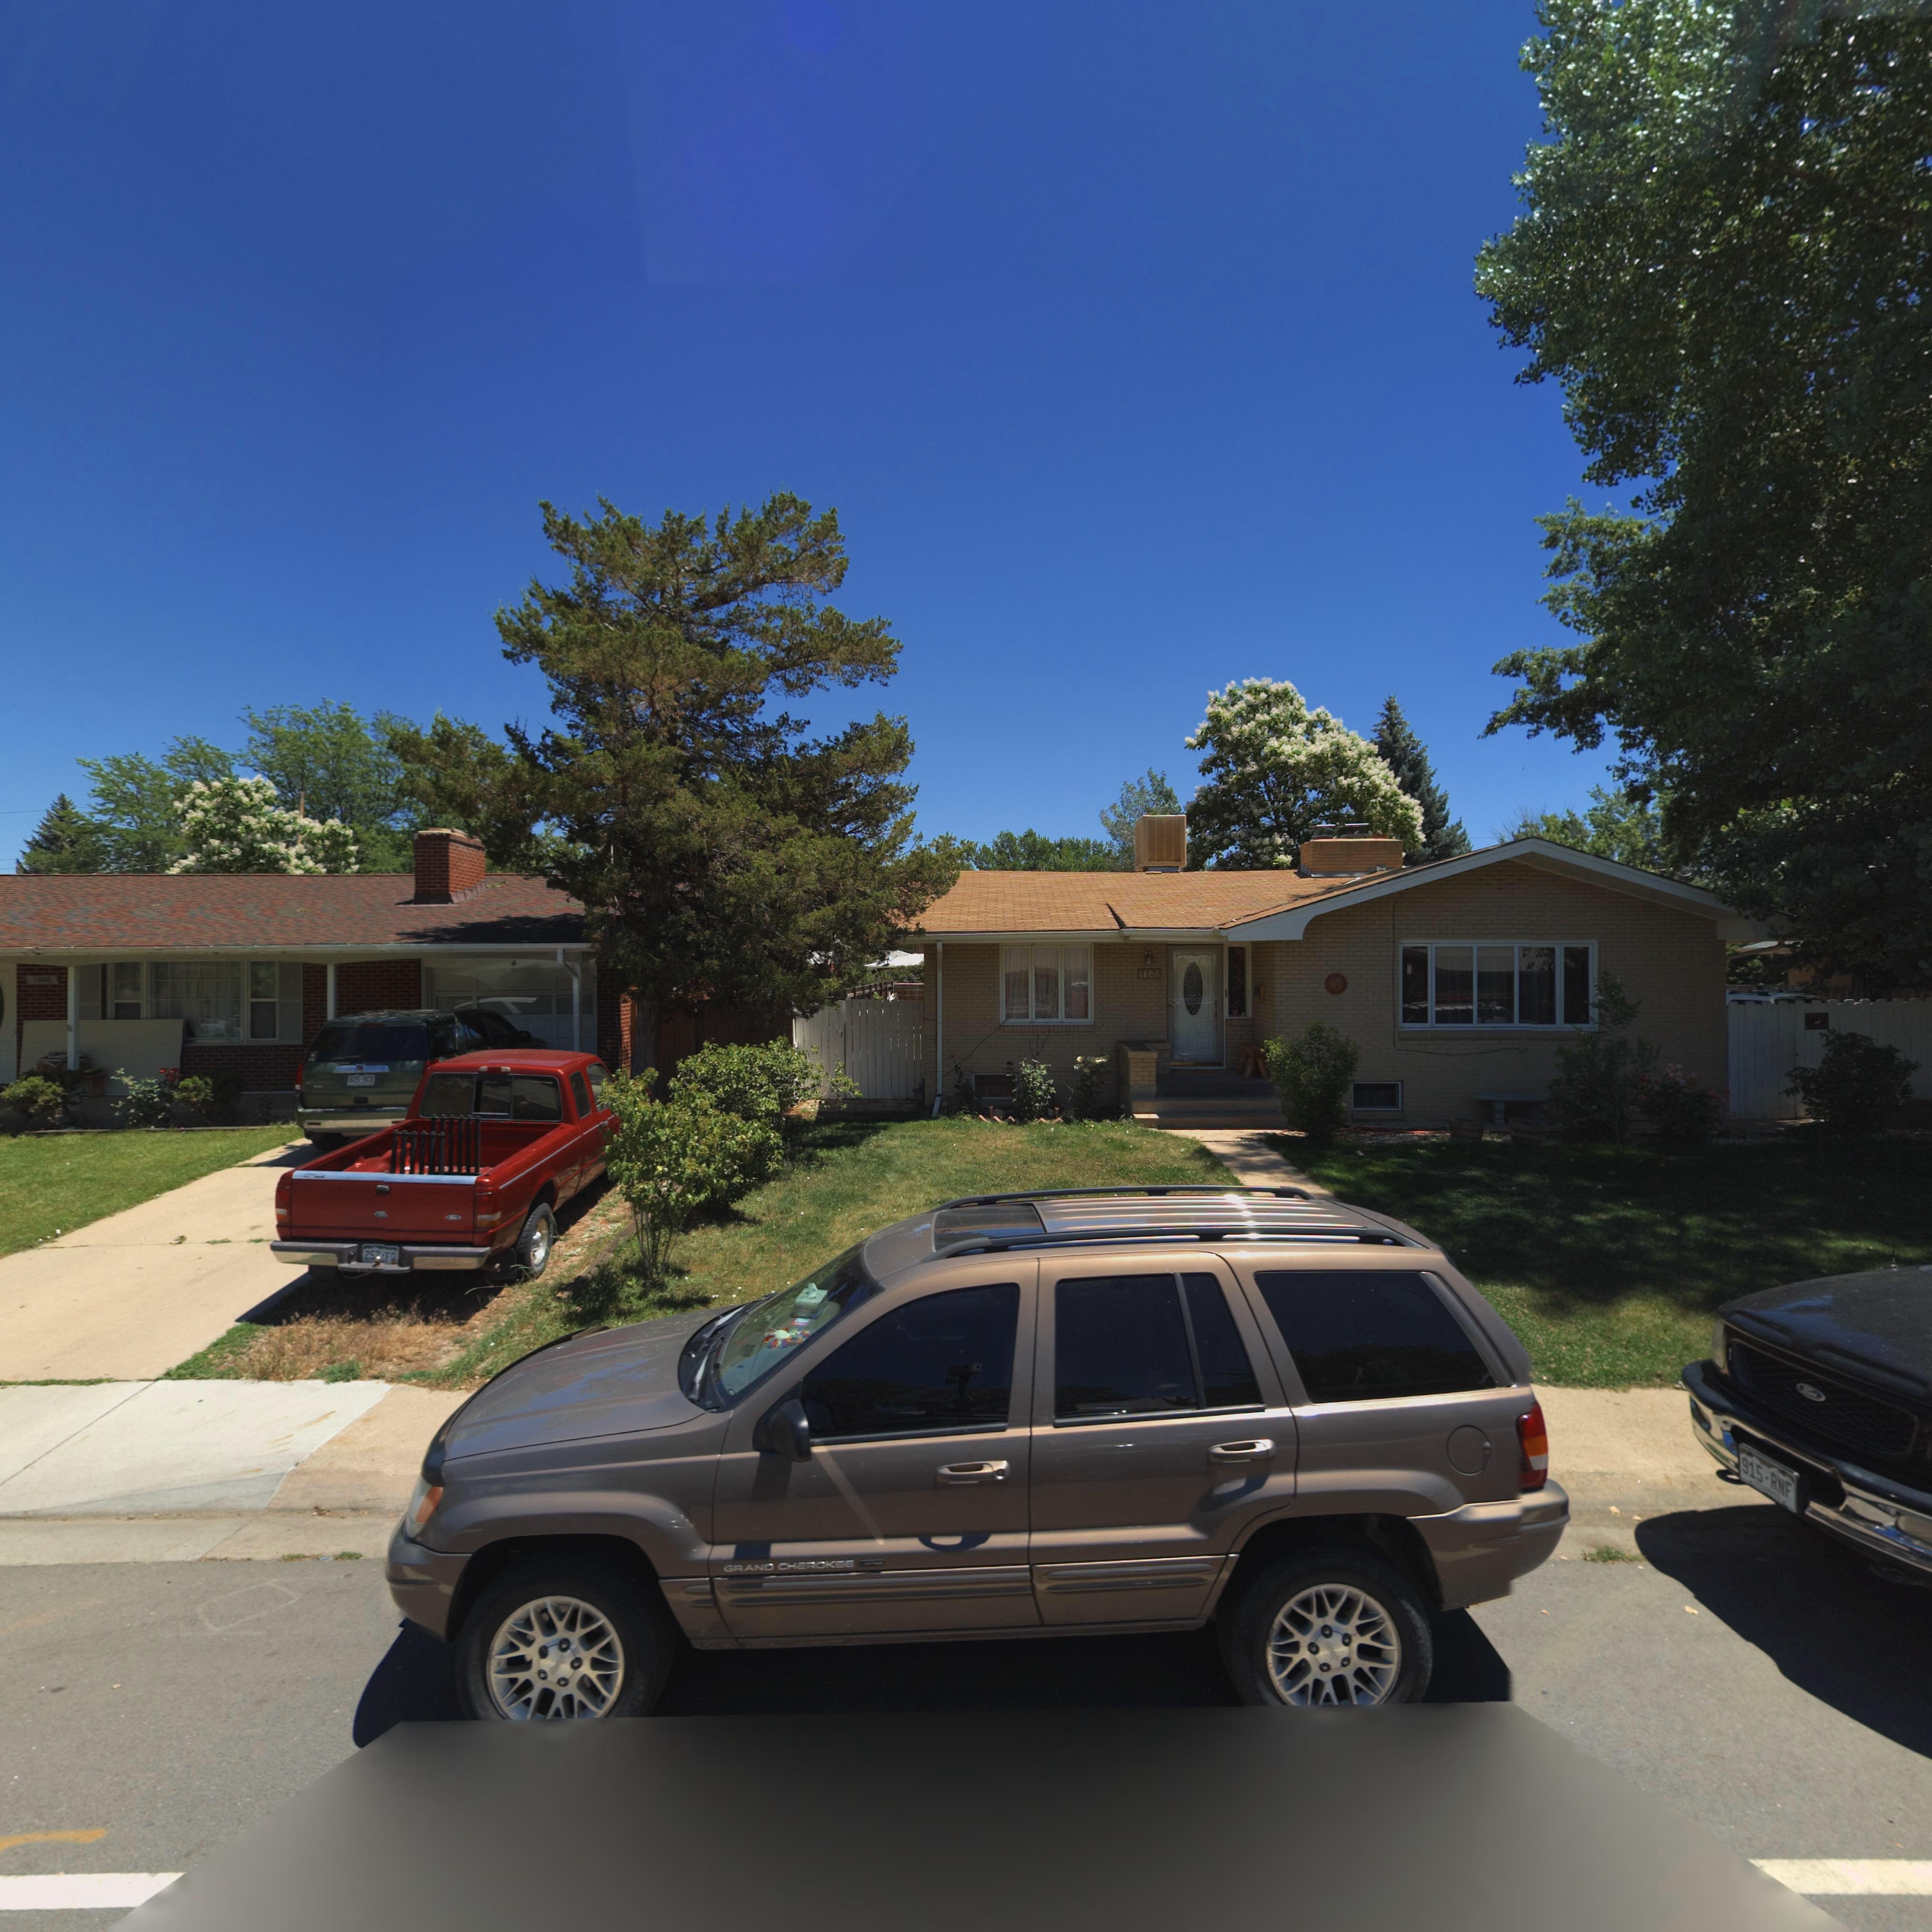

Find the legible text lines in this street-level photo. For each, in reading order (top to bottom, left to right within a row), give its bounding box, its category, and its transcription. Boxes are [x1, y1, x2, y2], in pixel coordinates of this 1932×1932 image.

[1140, 970, 1159, 977] StreetNumber: 1806
[32, 976, 51, 982] StreetNumber: 1**6